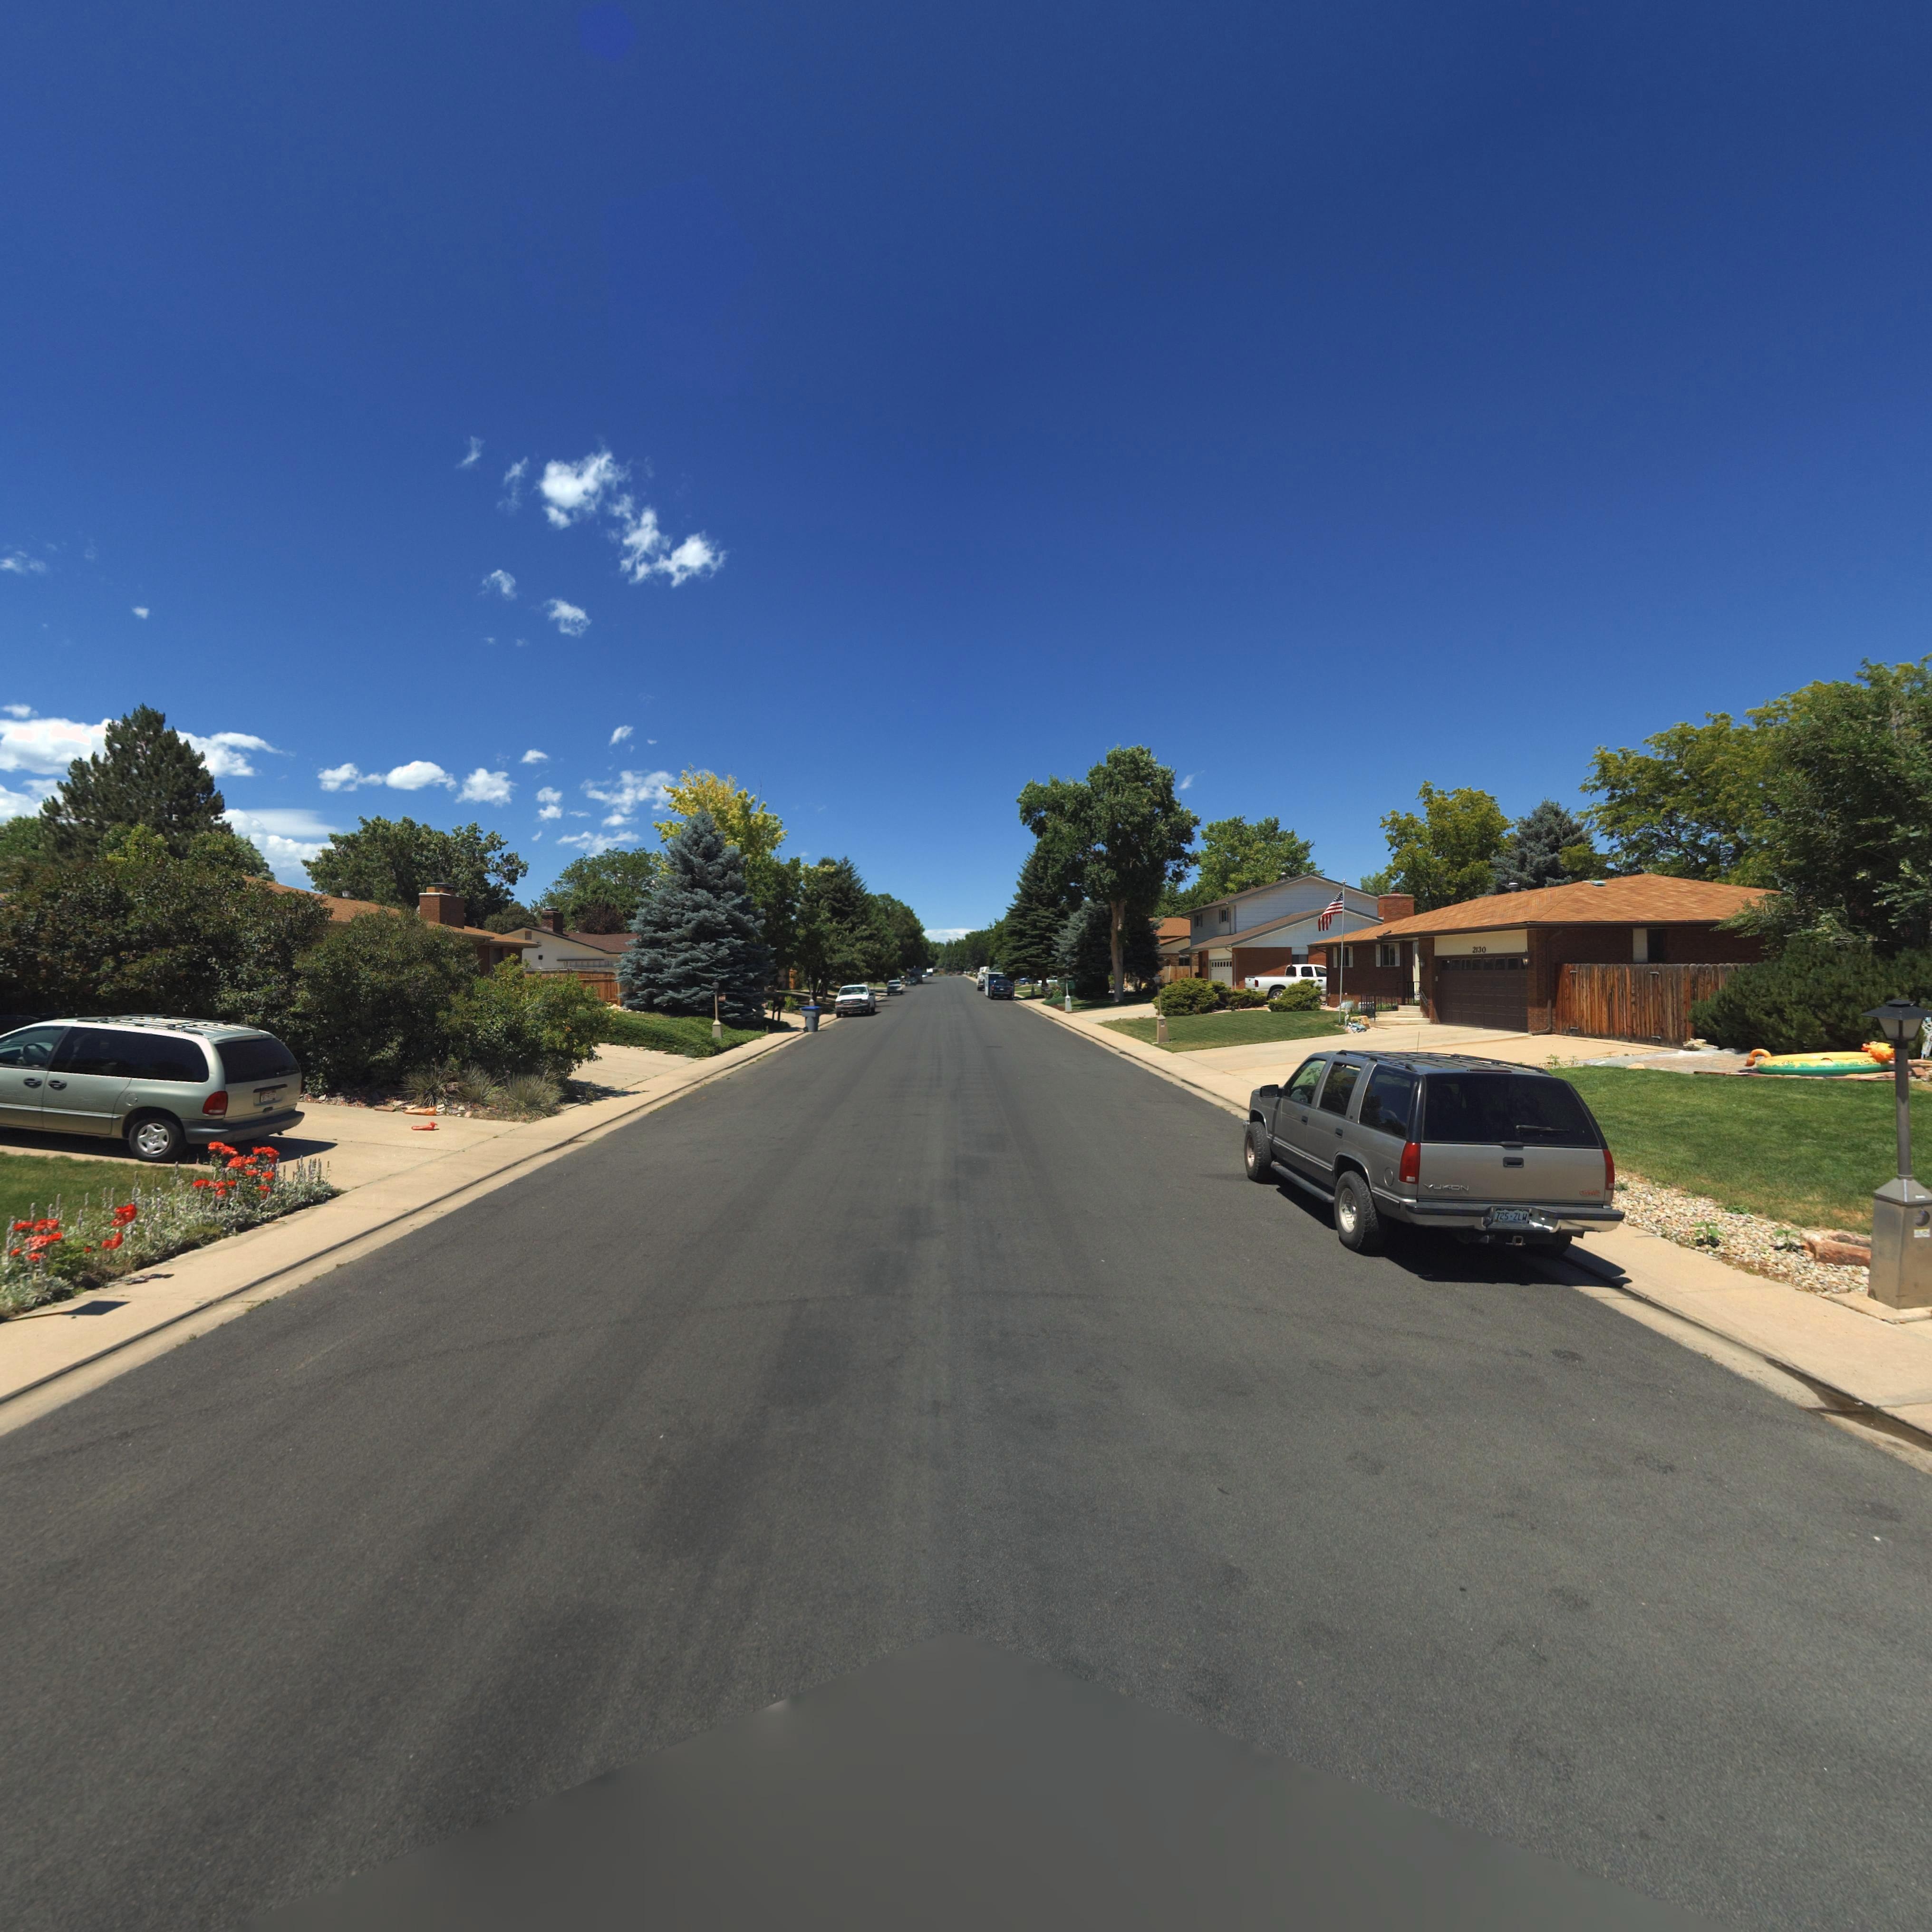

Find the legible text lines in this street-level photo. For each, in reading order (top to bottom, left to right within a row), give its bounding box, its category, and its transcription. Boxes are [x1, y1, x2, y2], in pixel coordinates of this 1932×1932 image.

[1472, 946, 1486, 953] StreetNumber: 2130